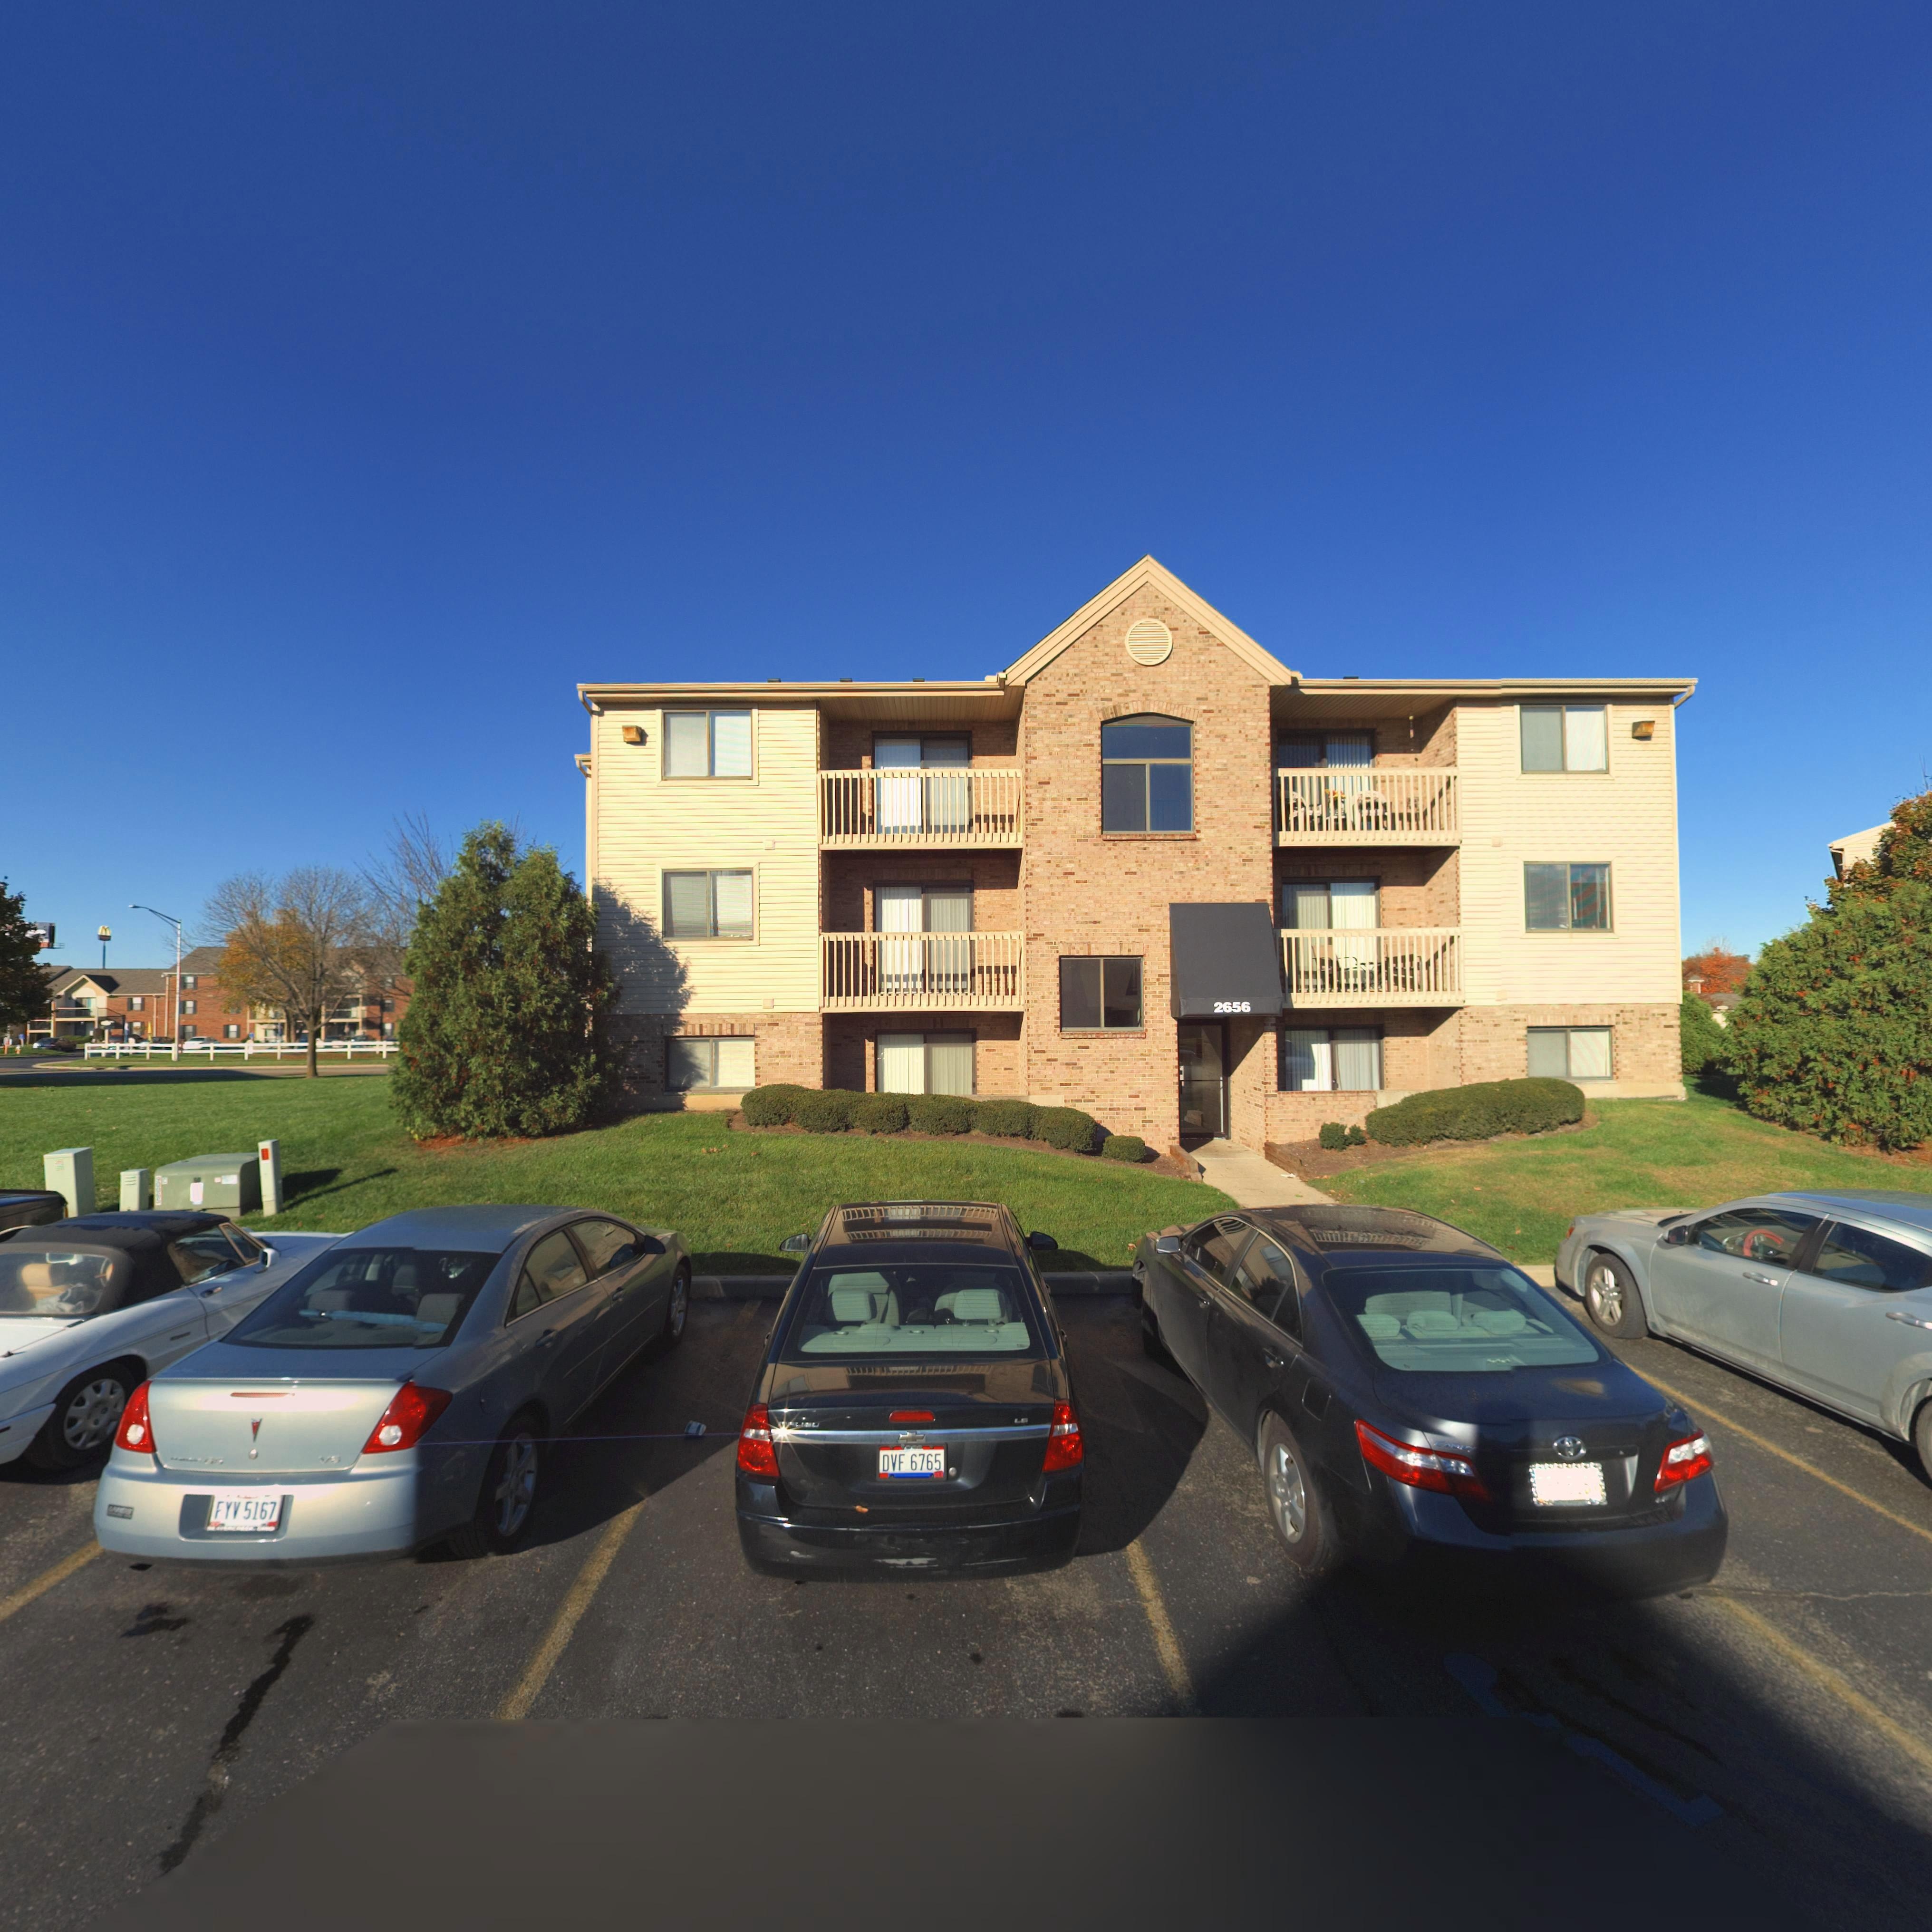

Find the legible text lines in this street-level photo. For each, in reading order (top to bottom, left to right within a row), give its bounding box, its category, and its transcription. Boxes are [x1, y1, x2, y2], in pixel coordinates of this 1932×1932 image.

[1213, 1001, 1252, 1014] StreetNumber: 2656